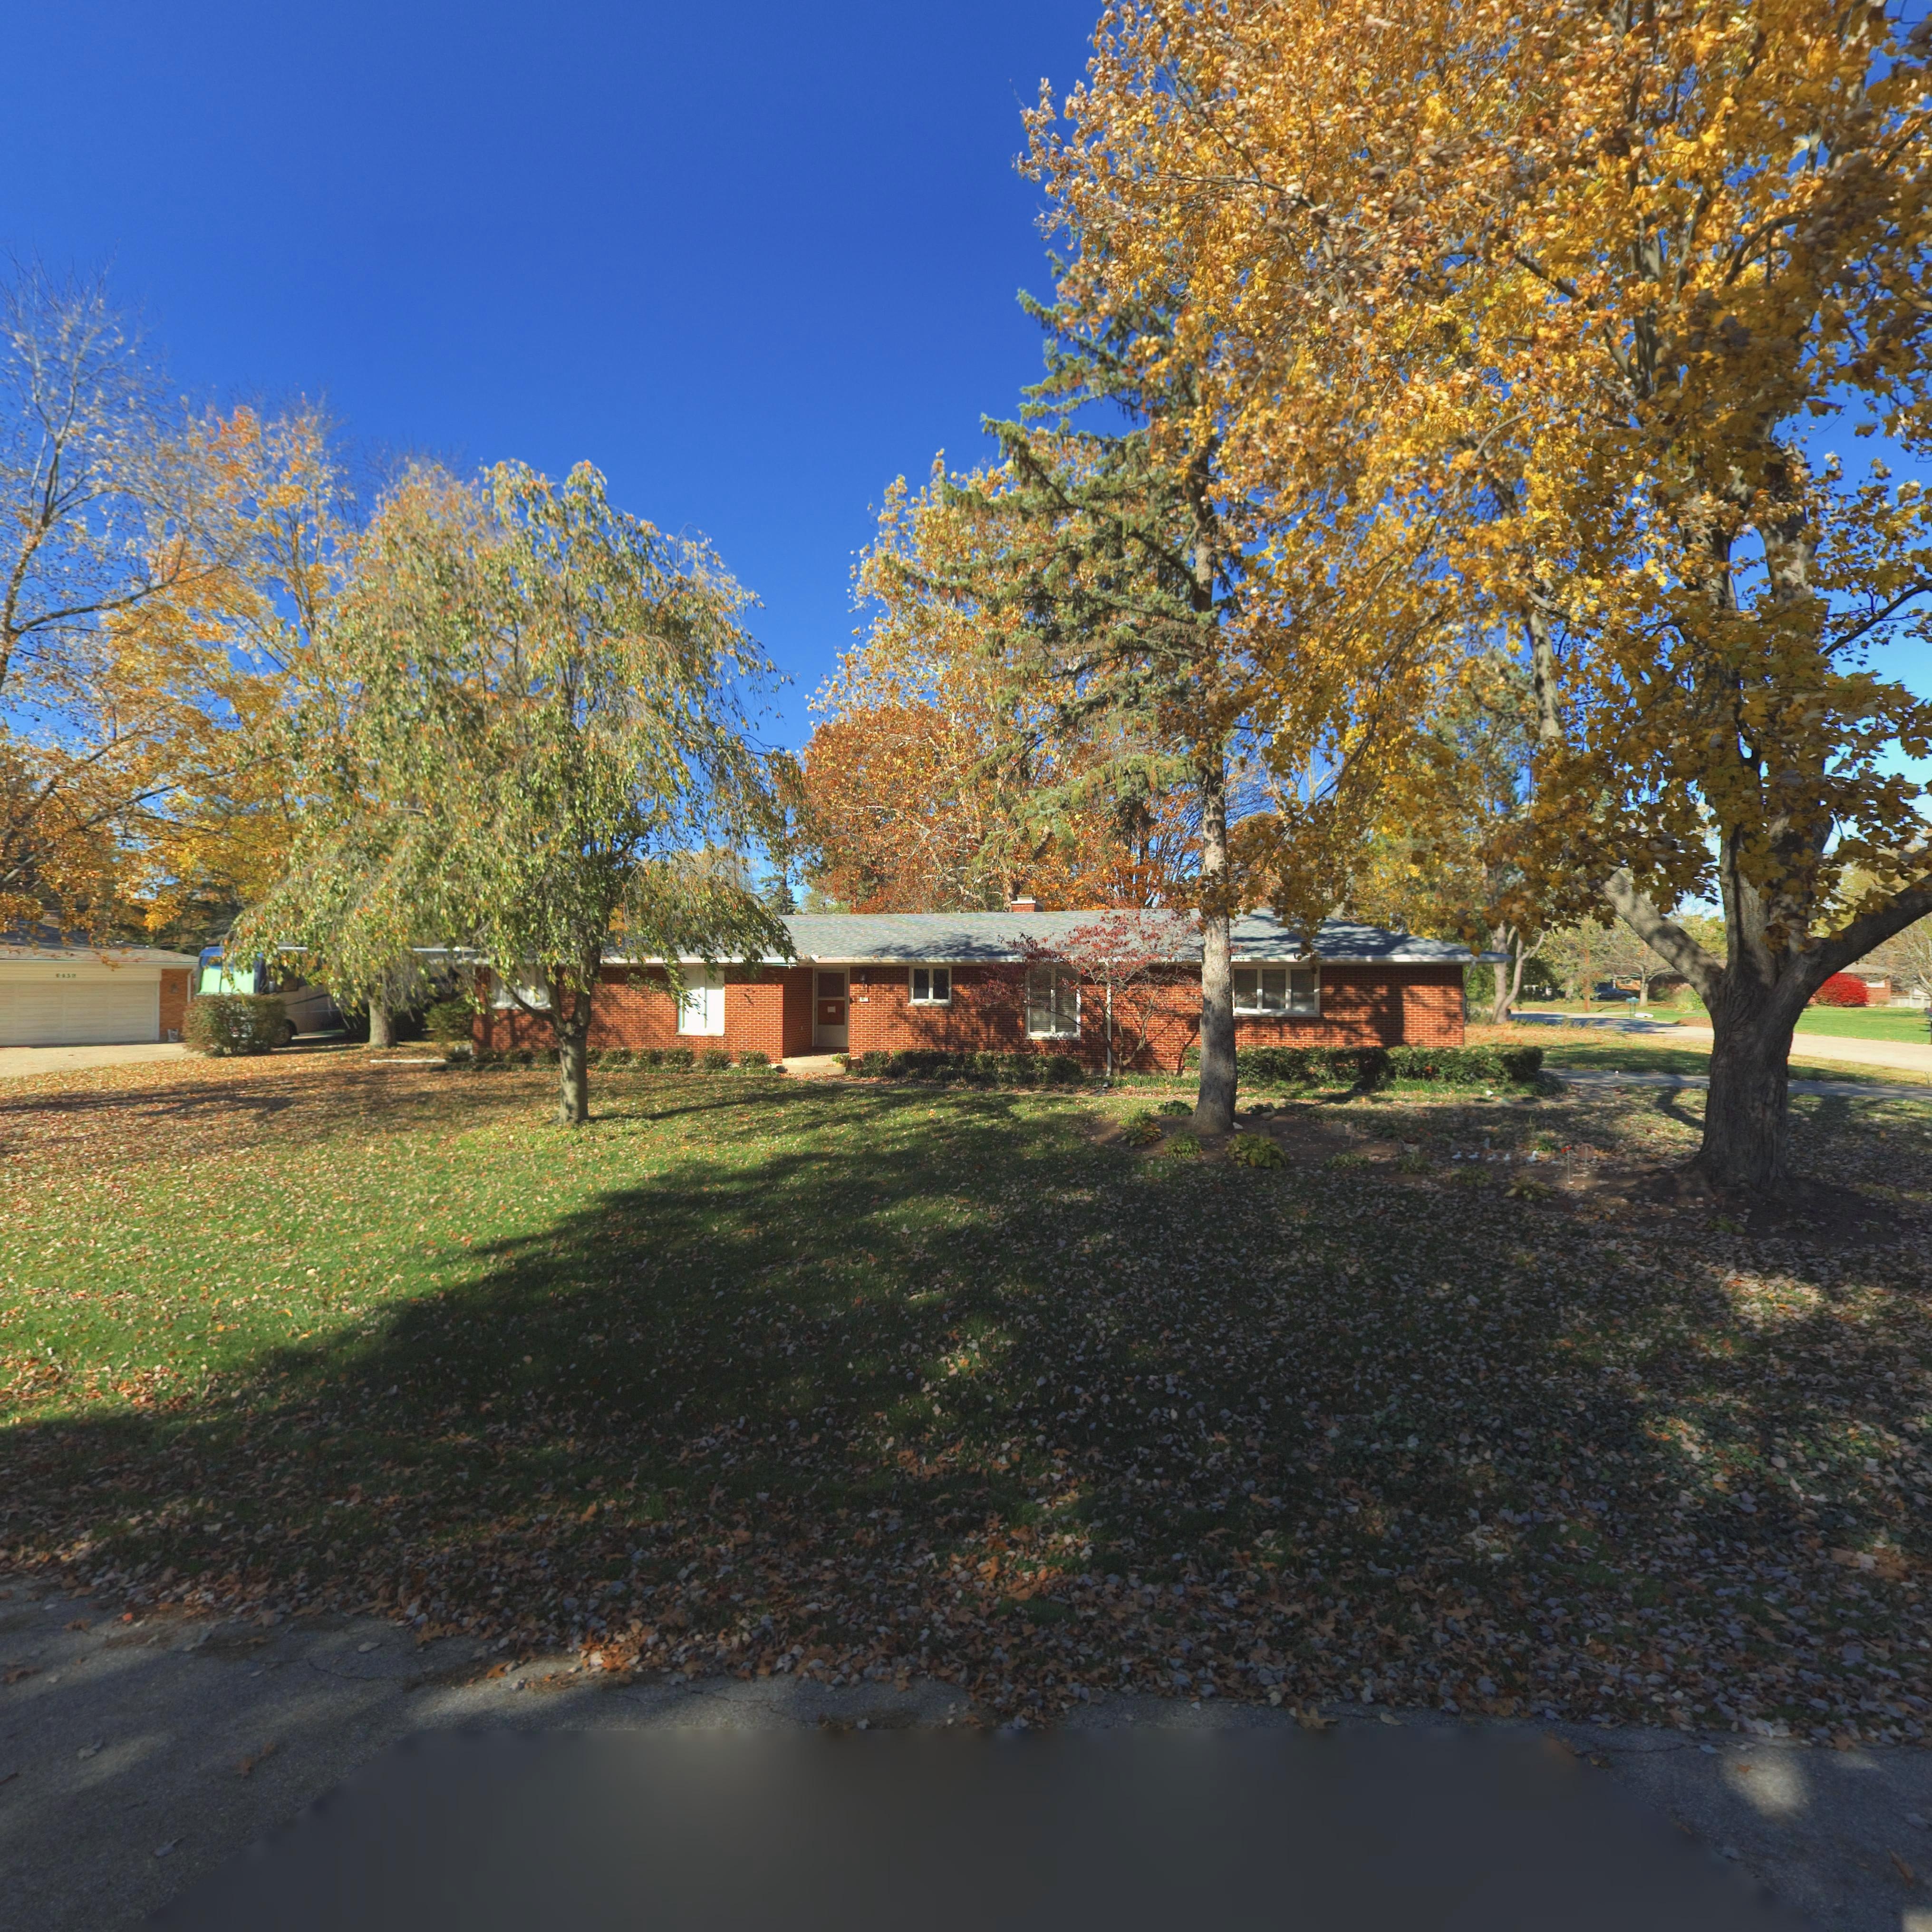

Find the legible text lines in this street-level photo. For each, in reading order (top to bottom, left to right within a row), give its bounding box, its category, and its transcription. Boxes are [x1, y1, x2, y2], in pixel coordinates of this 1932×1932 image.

[55, 973, 76, 978] StreetNumber: *45*